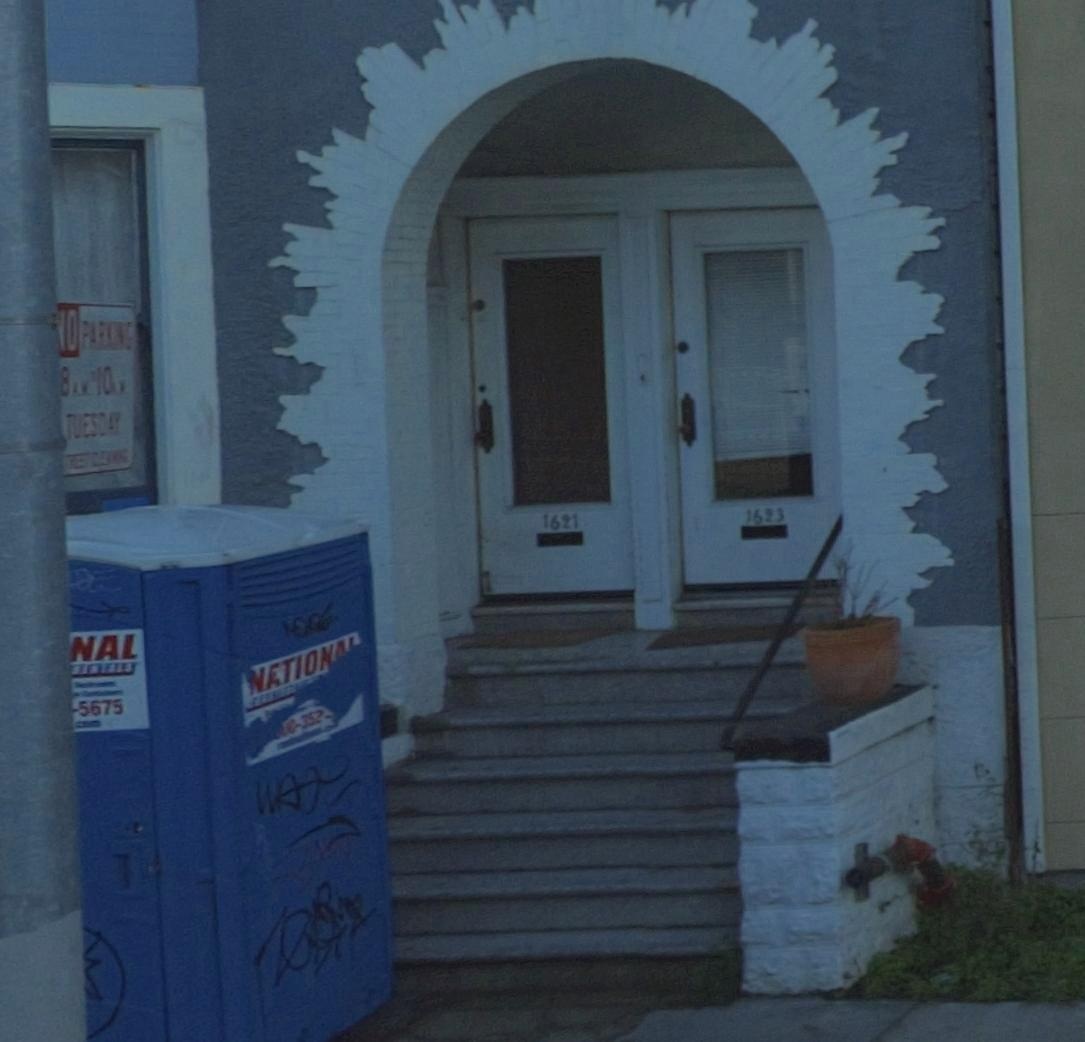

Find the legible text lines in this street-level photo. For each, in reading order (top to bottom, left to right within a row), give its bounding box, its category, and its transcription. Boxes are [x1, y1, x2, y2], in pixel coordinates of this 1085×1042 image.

[64, 307, 92, 355] None: O P
[95, 363, 115, 397] None: 10
[61, 406, 124, 446] None: TUESDAY
[541, 511, 581, 533] StreetNumber: 1621
[742, 505, 789, 526] StreetNumber: 1623
[65, 629, 140, 667] None: NAL
[277, 640, 335, 688] None: TION
[76, 696, 126, 720] None: 5675
[297, 706, 326, 731] None: 35*